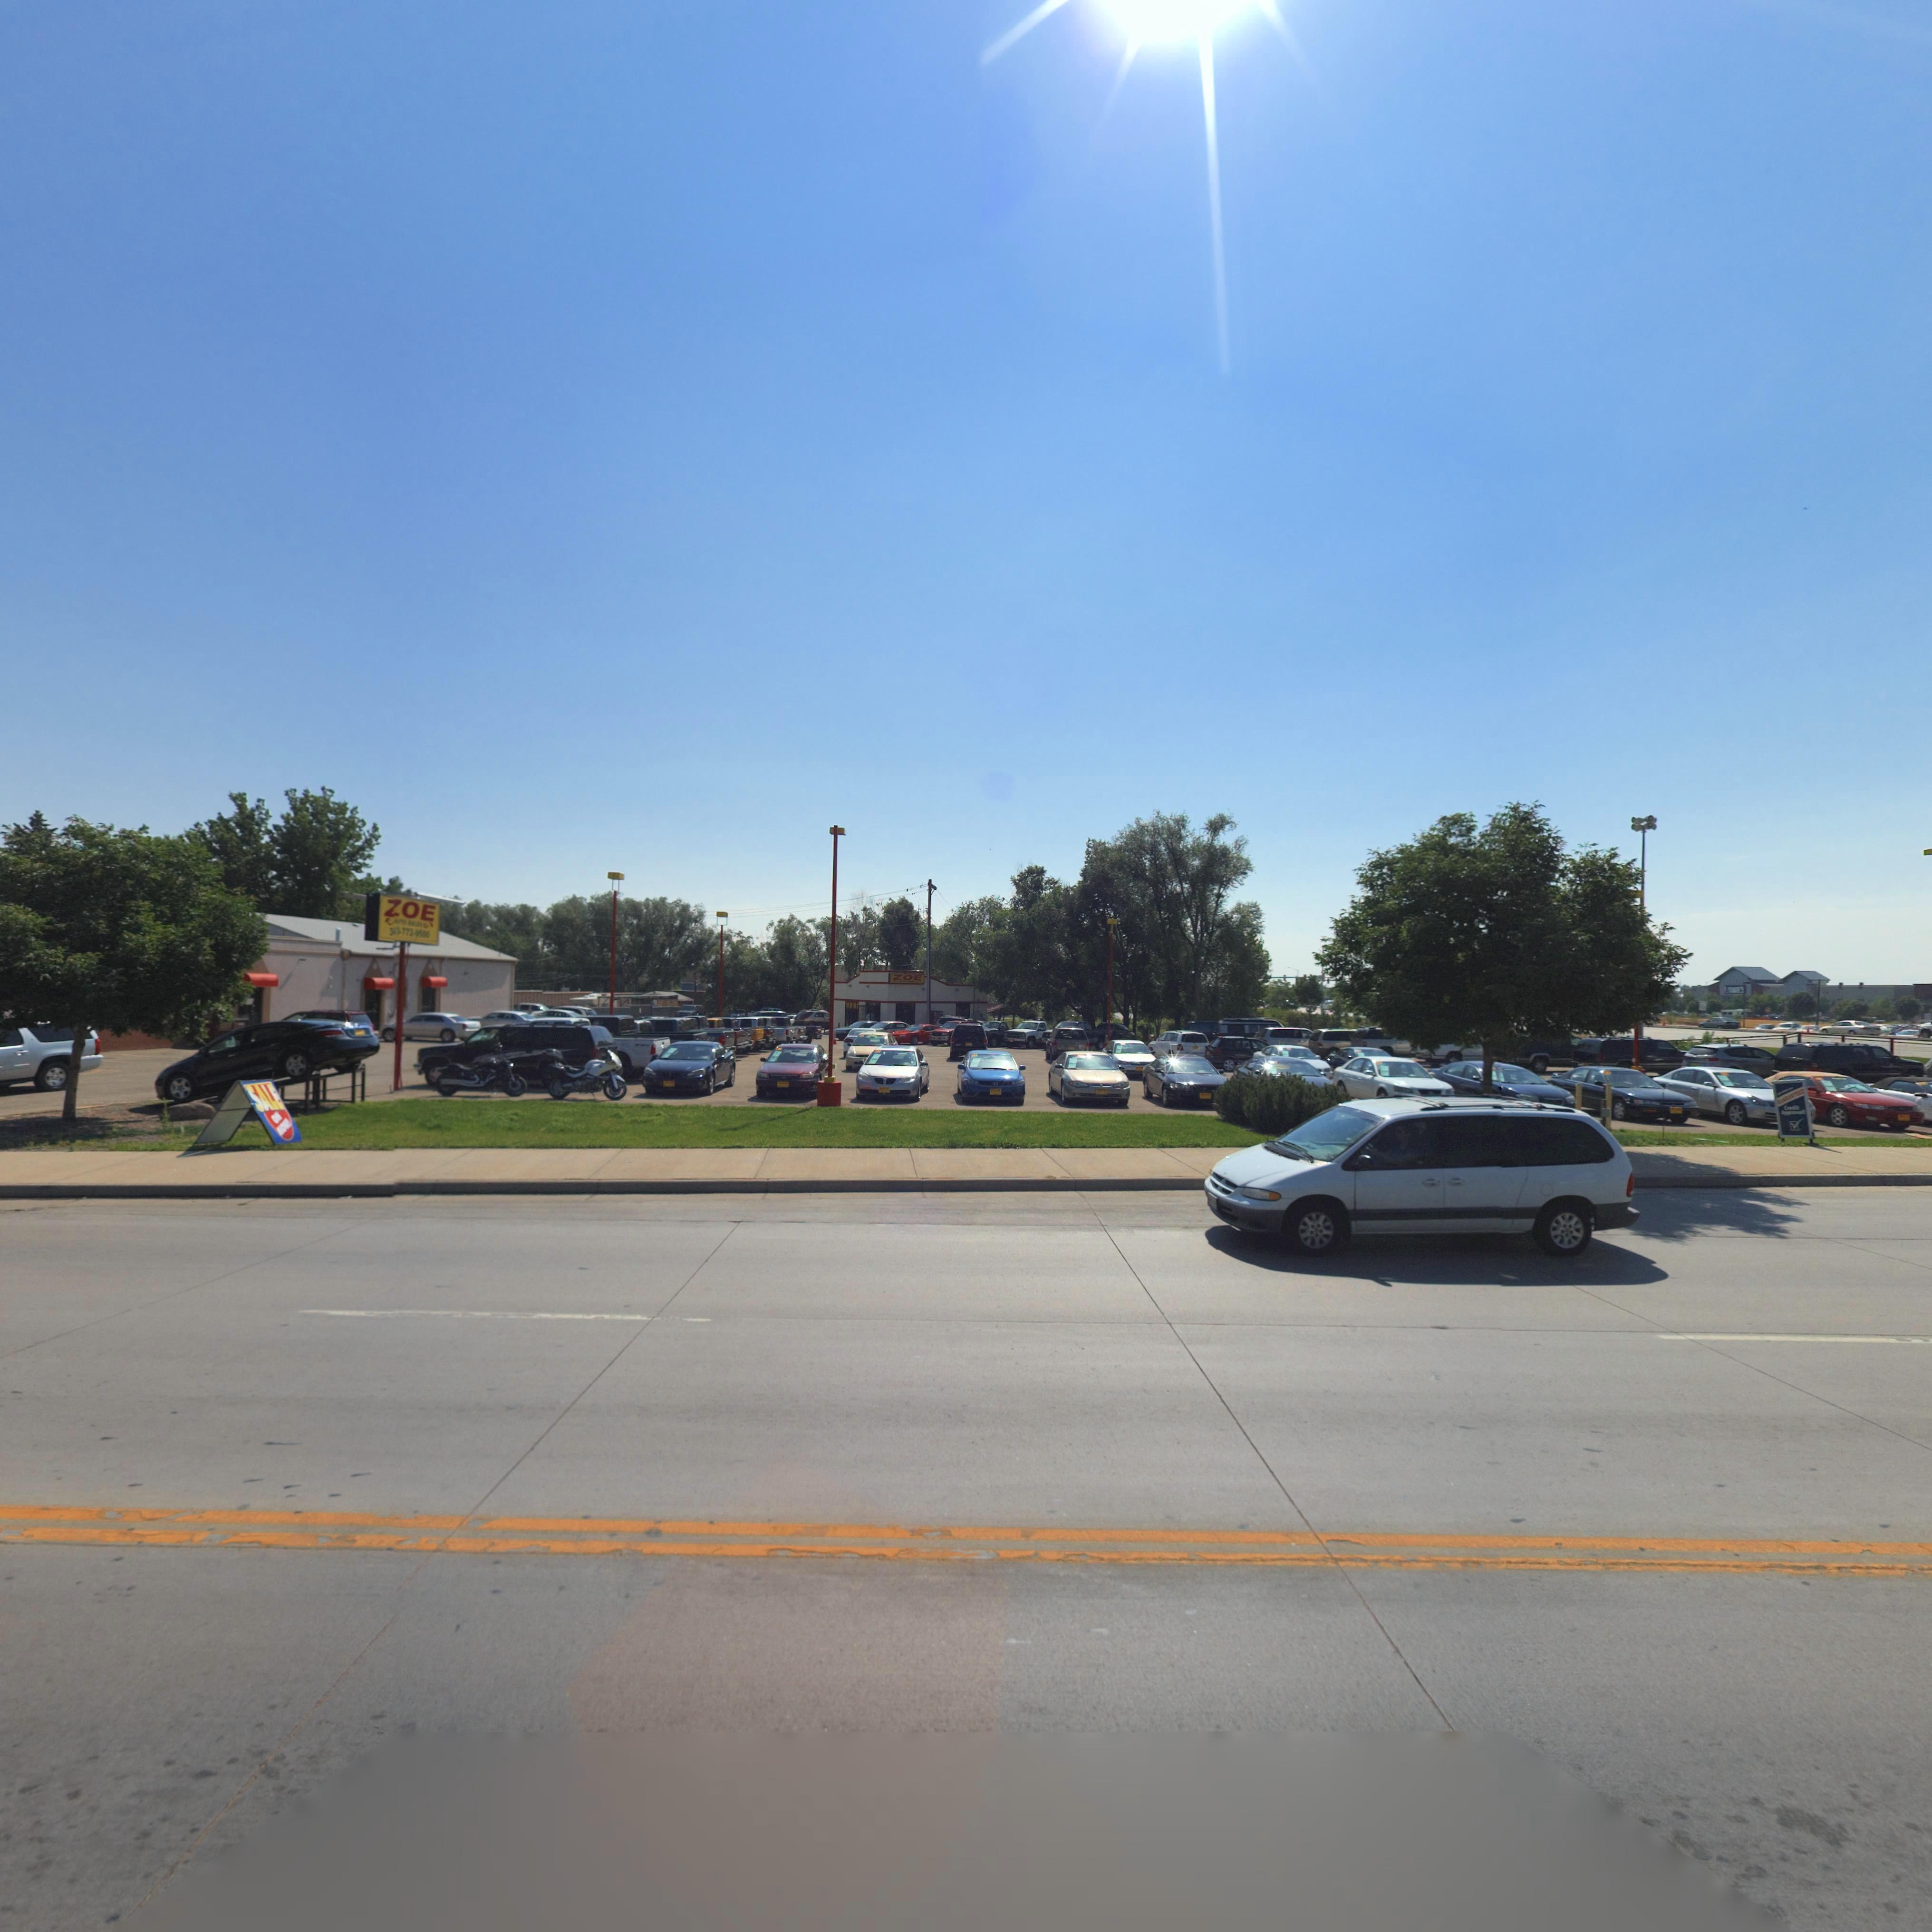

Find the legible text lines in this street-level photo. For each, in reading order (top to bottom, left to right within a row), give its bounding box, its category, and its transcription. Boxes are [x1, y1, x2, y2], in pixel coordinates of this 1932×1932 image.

[383, 898, 436, 922] BusinessName: ZOE
[892, 974, 922, 981] BusinessName: ZOE
[1723, 985, 1744, 993] BusinessName: LOWE'S